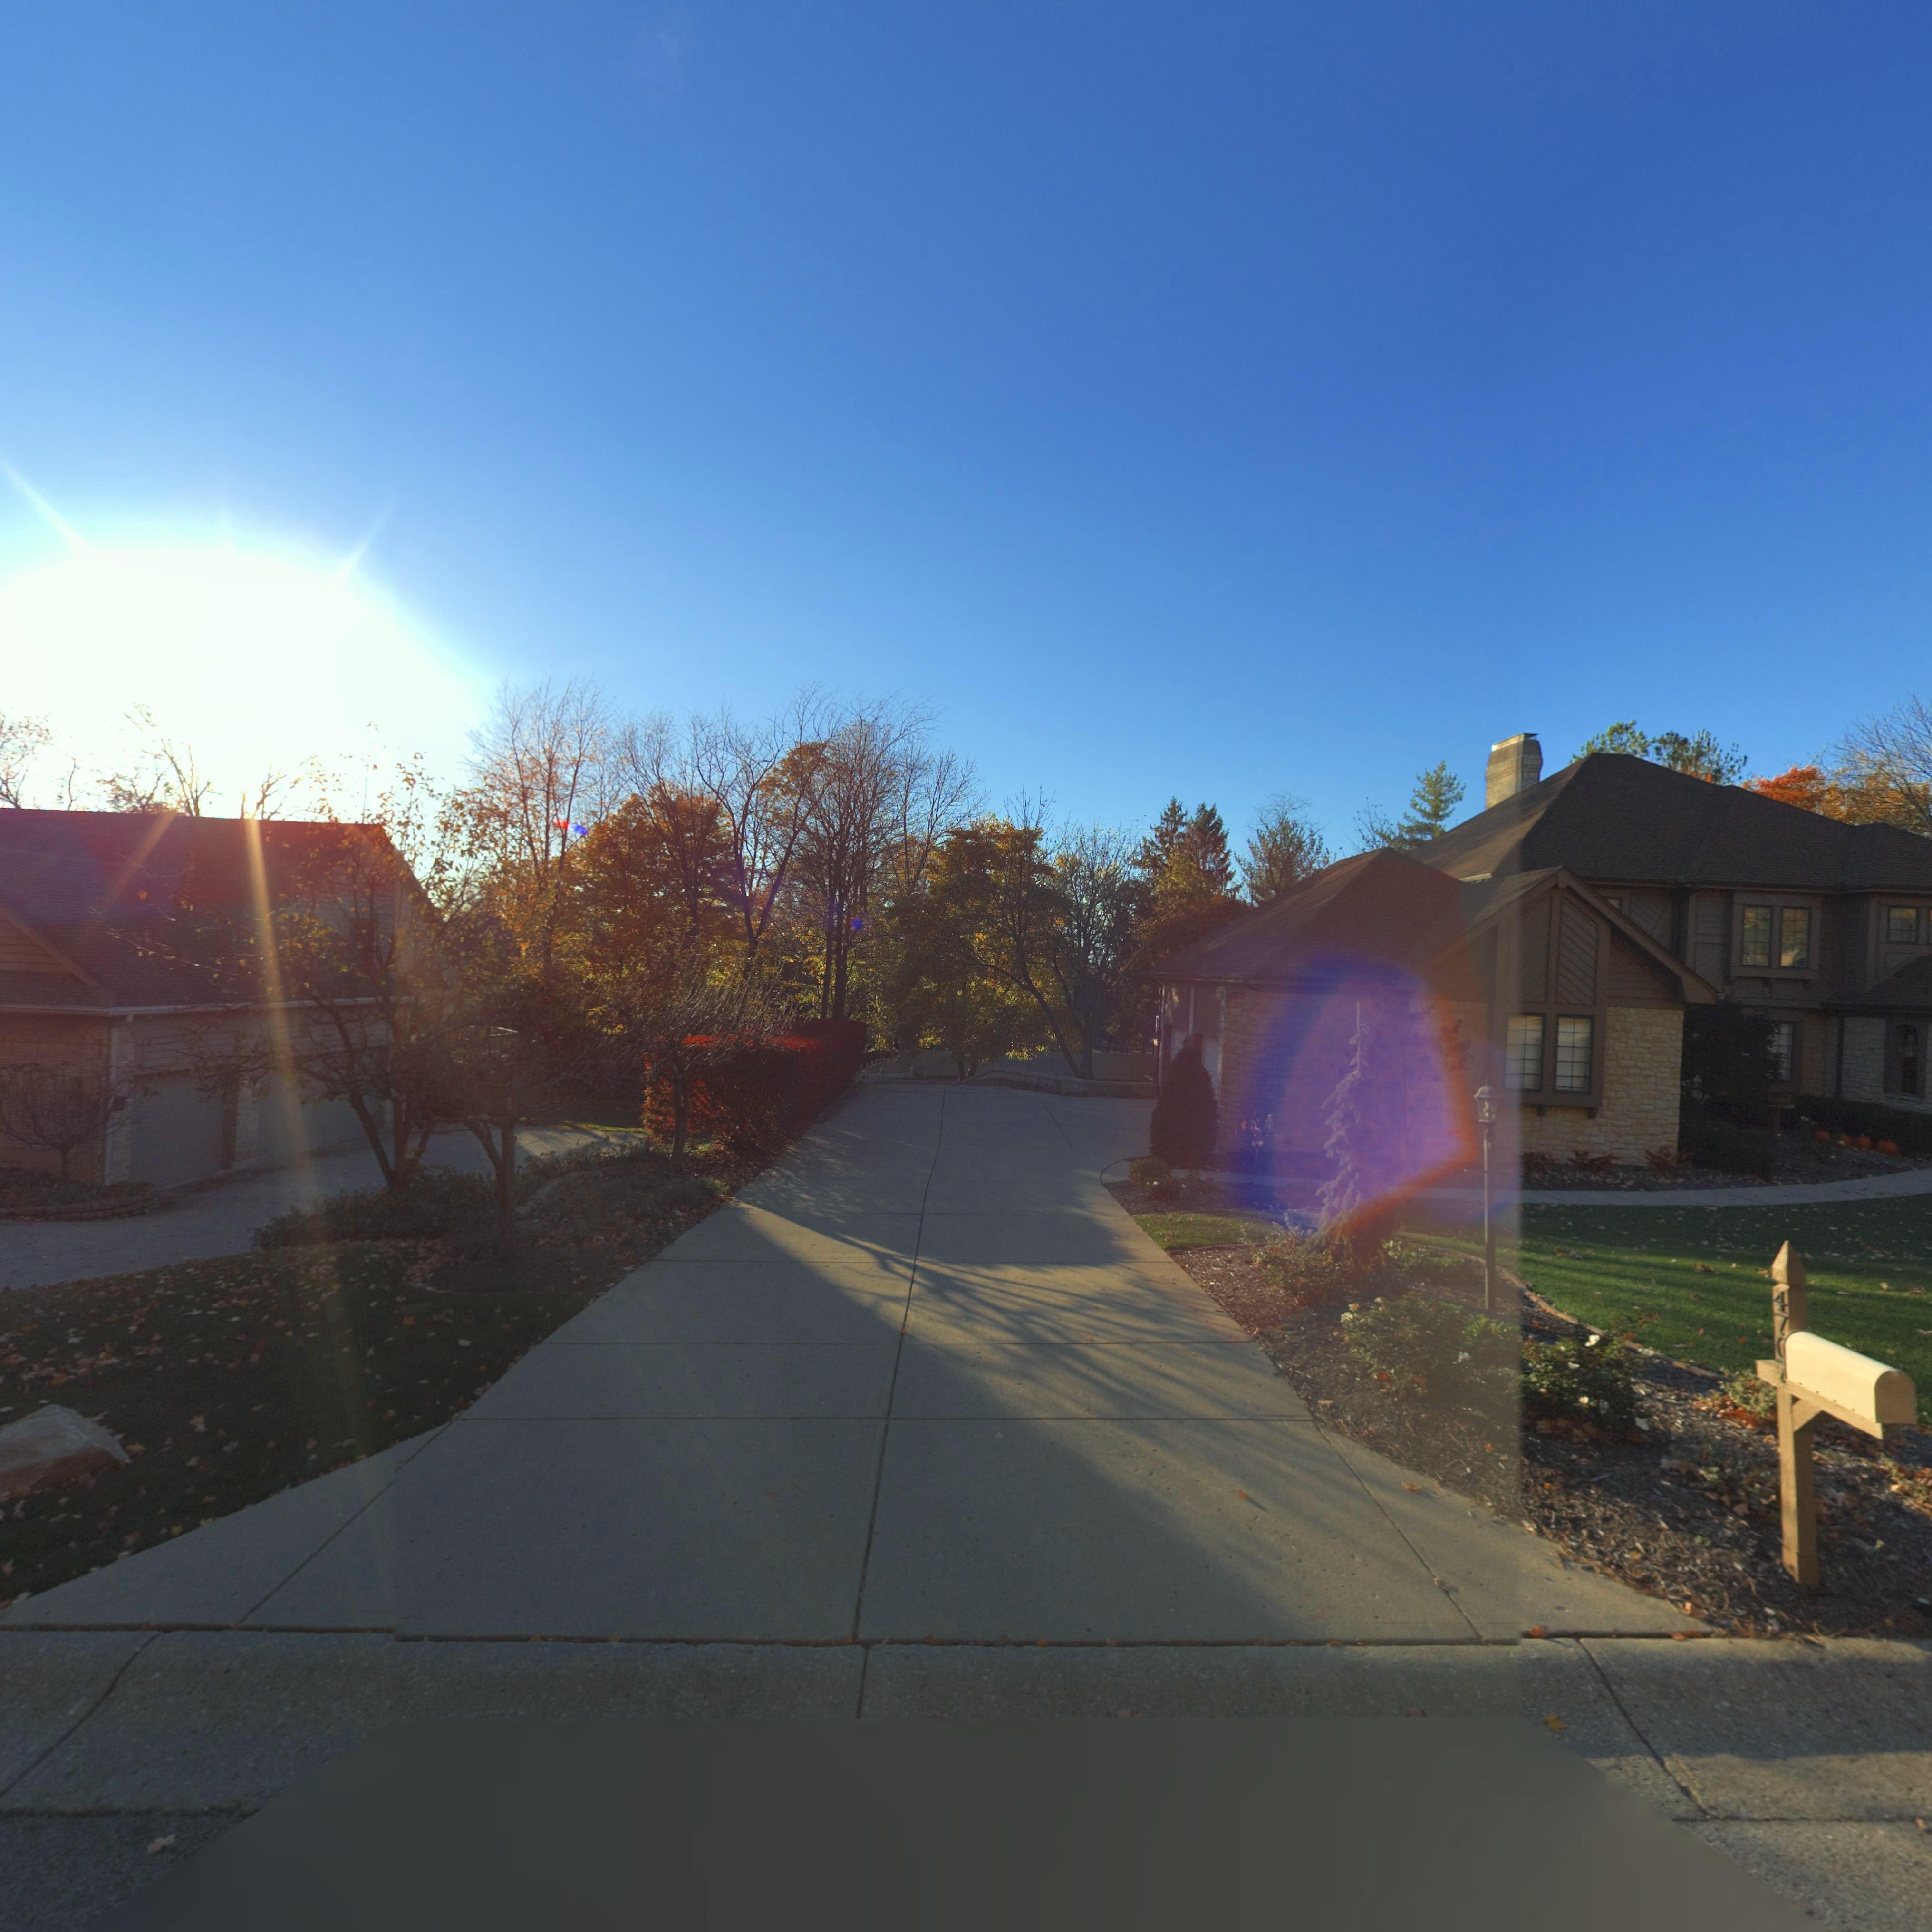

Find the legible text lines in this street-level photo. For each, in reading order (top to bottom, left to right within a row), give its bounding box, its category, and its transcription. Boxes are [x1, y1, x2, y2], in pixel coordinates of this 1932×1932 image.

[1771, 1289, 1790, 1362] StreetNumber: 47*